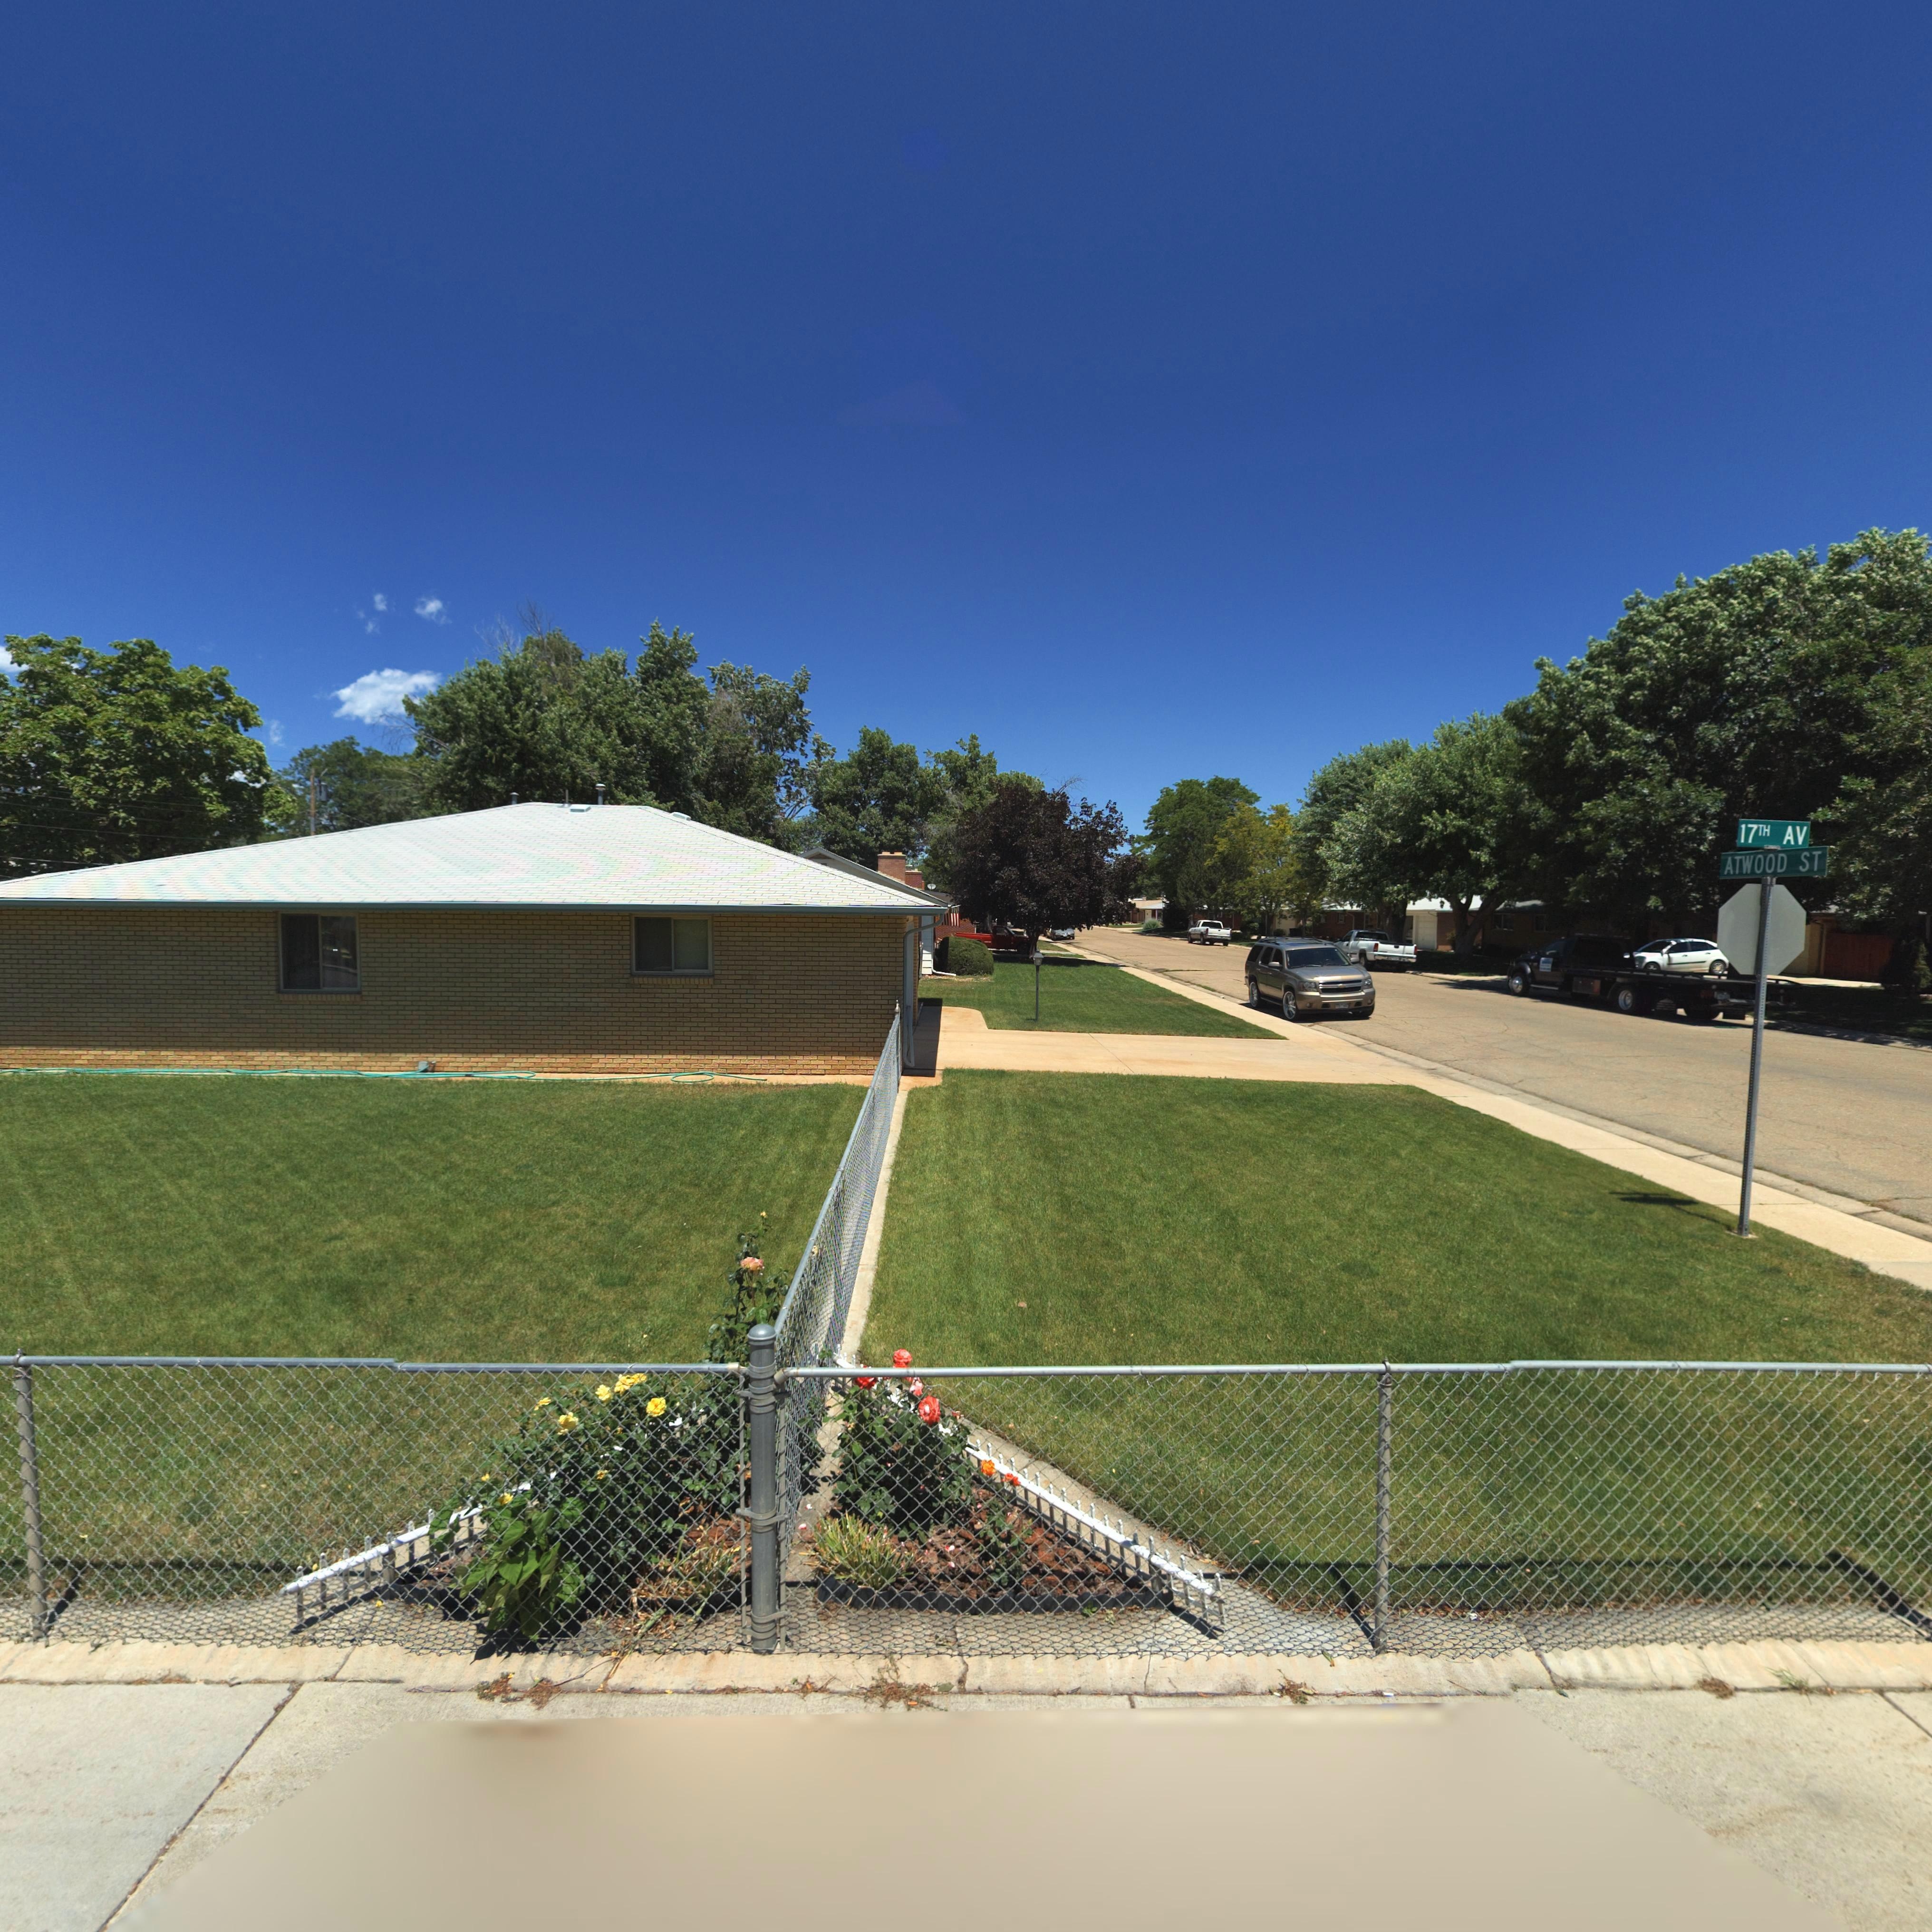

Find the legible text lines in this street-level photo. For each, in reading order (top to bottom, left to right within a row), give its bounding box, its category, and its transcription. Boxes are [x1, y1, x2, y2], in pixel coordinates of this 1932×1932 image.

[1739, 823, 1808, 845] StreetName: 17TH AV
[1723, 850, 1822, 875] StreetName: ATWOOD ST